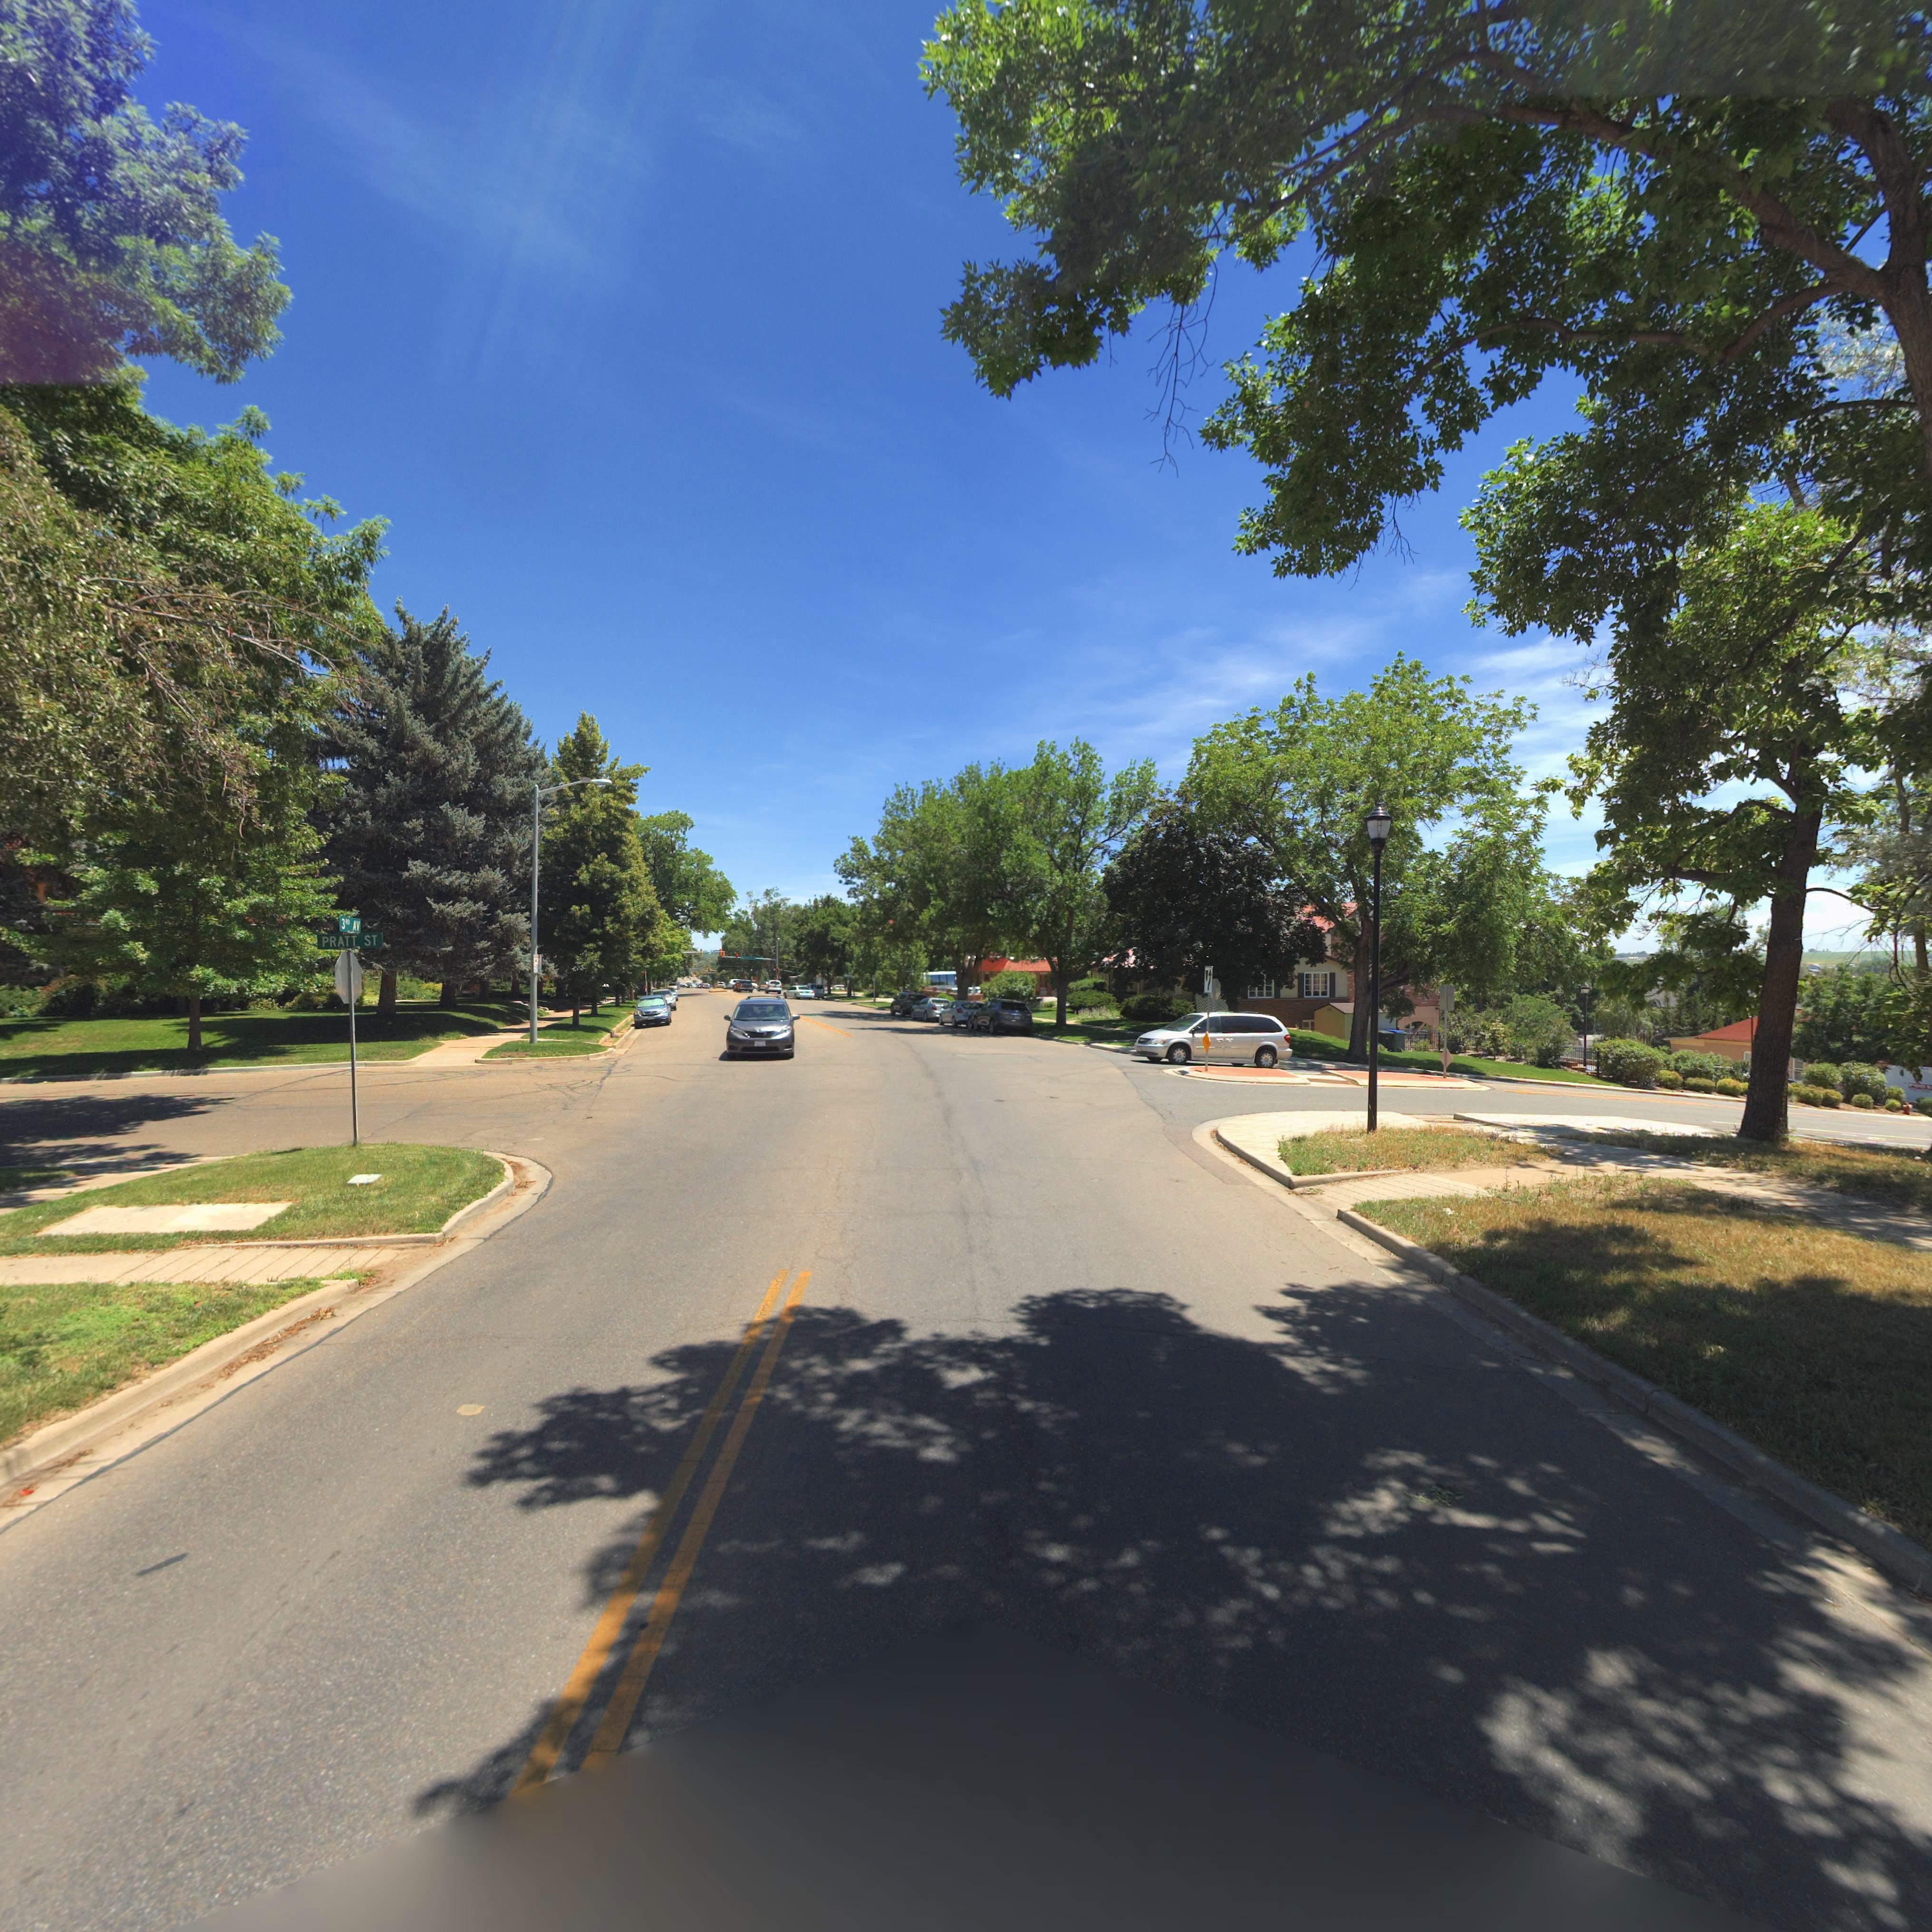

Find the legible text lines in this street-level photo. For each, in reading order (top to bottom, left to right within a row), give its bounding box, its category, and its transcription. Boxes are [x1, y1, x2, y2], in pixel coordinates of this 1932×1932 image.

[340, 917, 360, 932] StreetName: 3RD AV
[322, 935, 377, 947] StreetName: PRATT ST